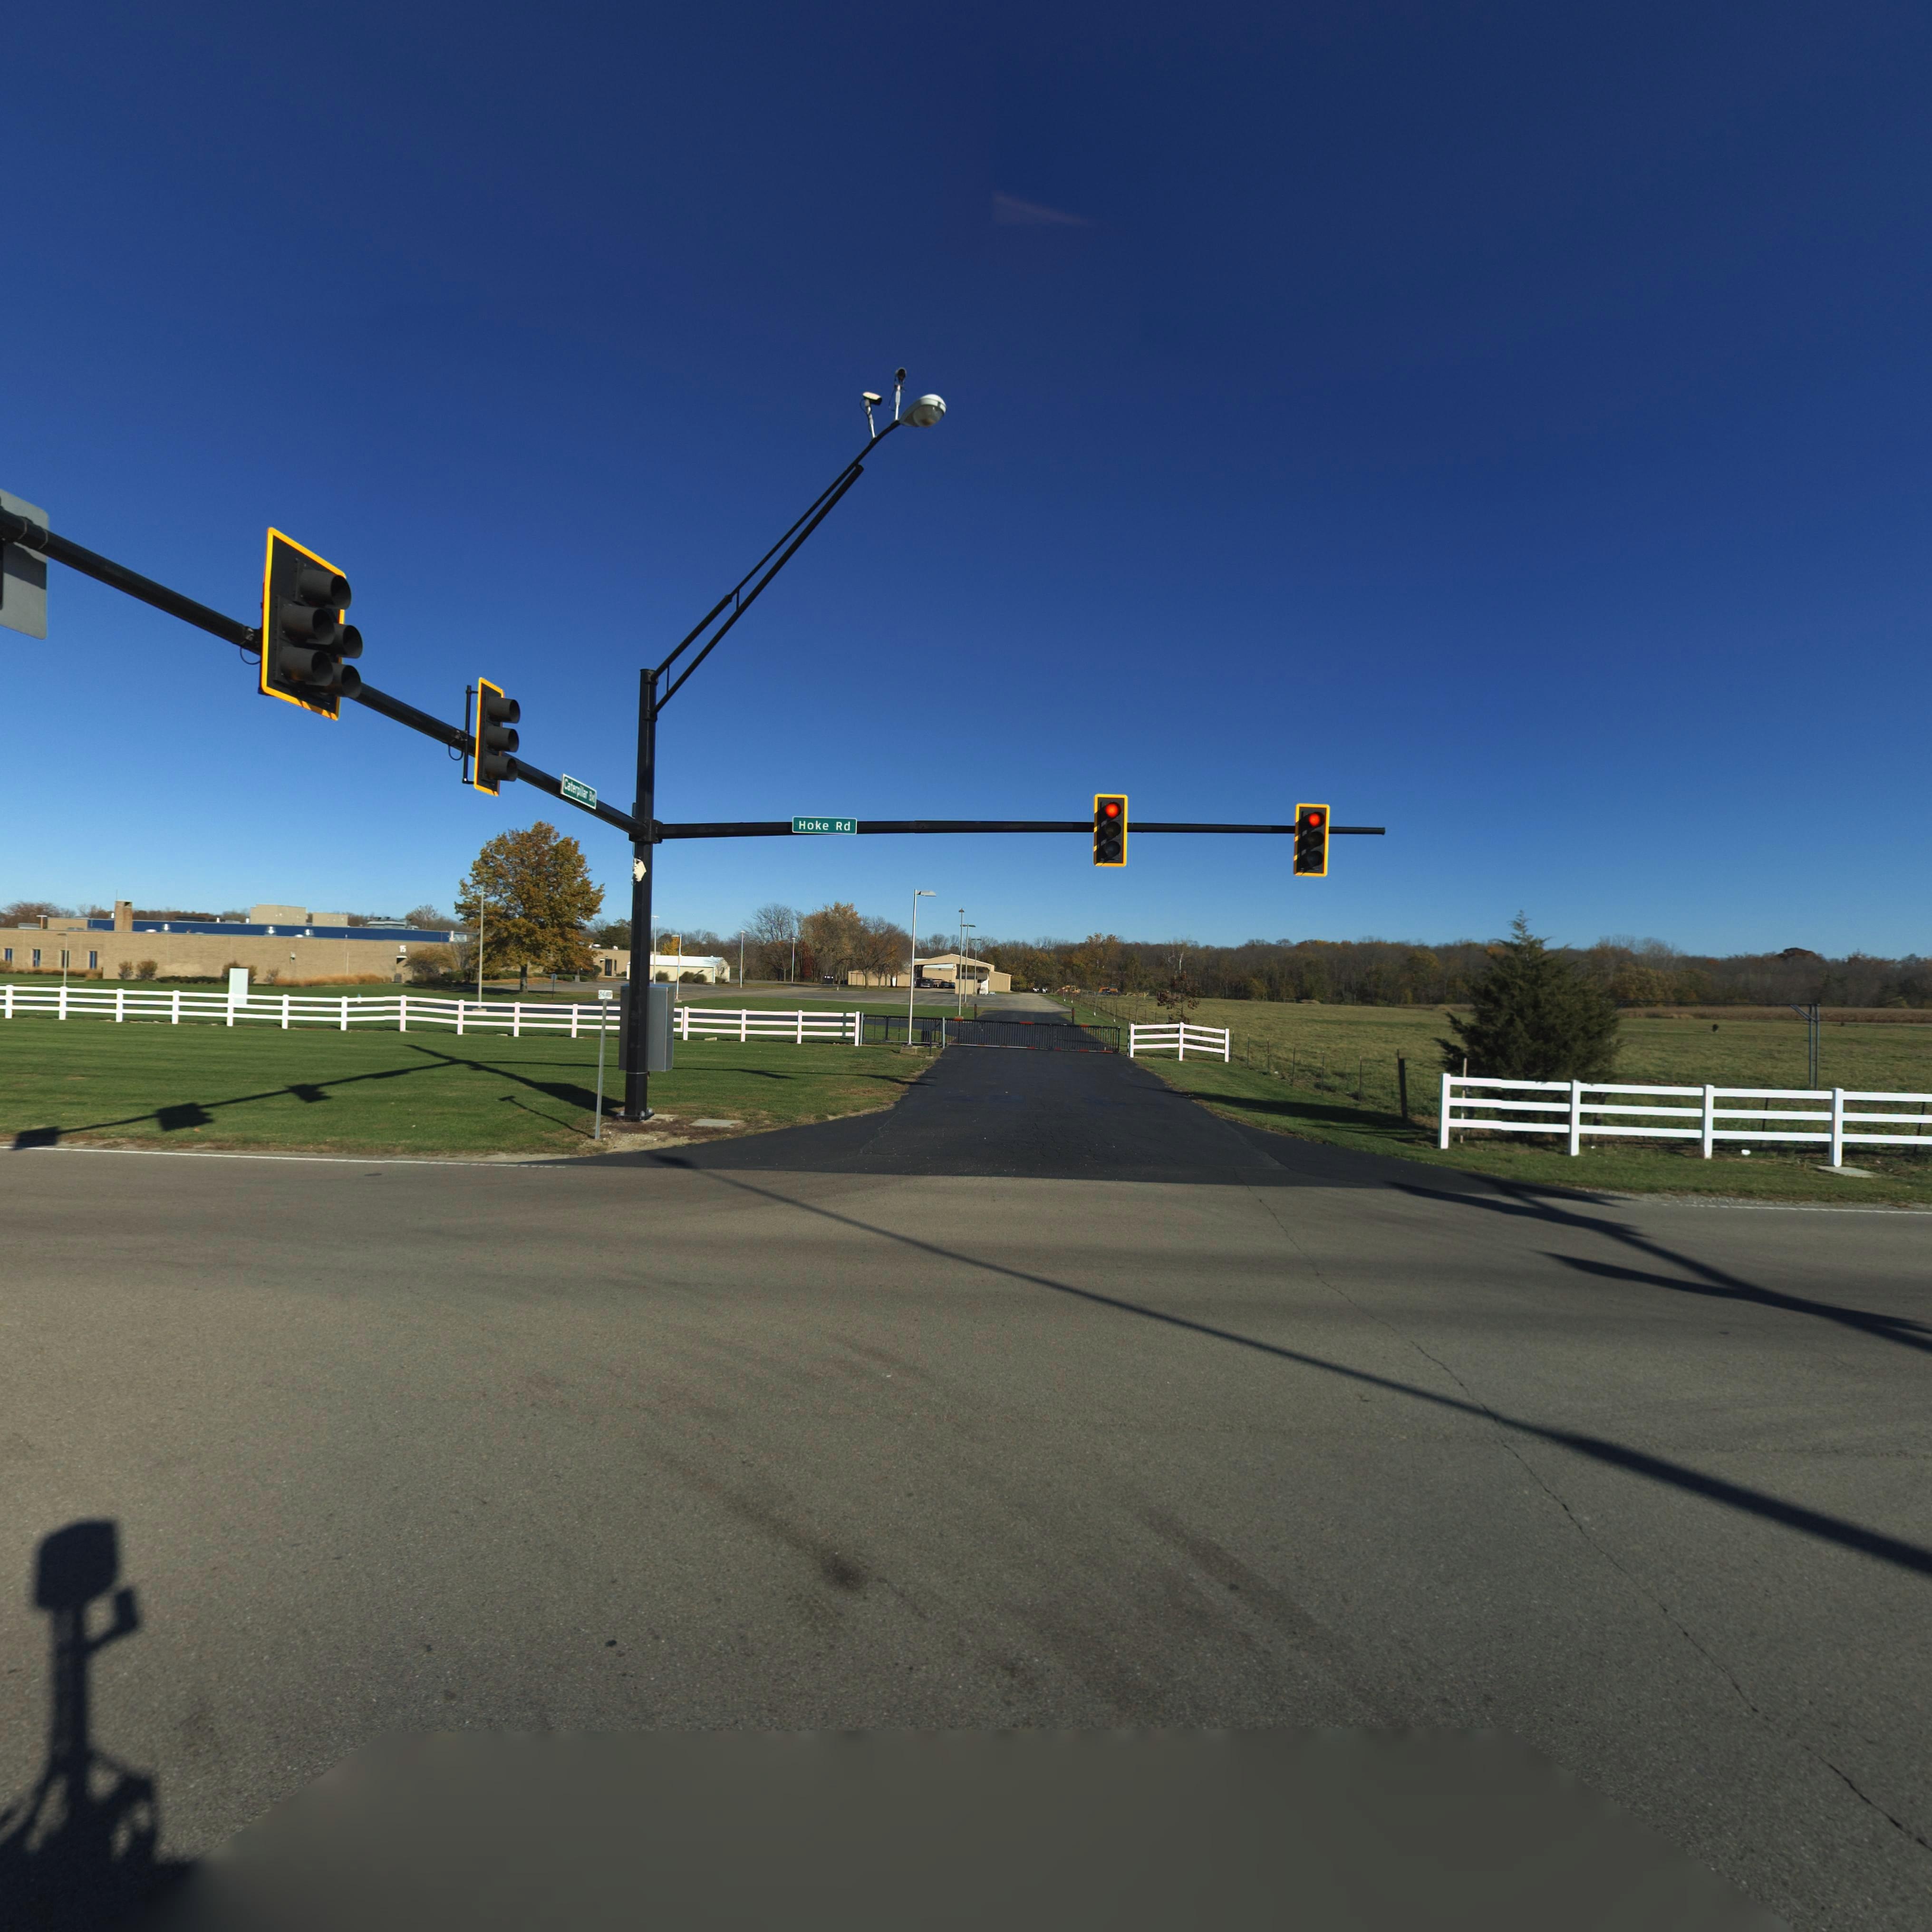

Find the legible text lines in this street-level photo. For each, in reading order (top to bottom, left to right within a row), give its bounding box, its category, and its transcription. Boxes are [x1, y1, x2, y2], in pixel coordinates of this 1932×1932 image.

[399, 945, 406, 953] StreetNumber: 15